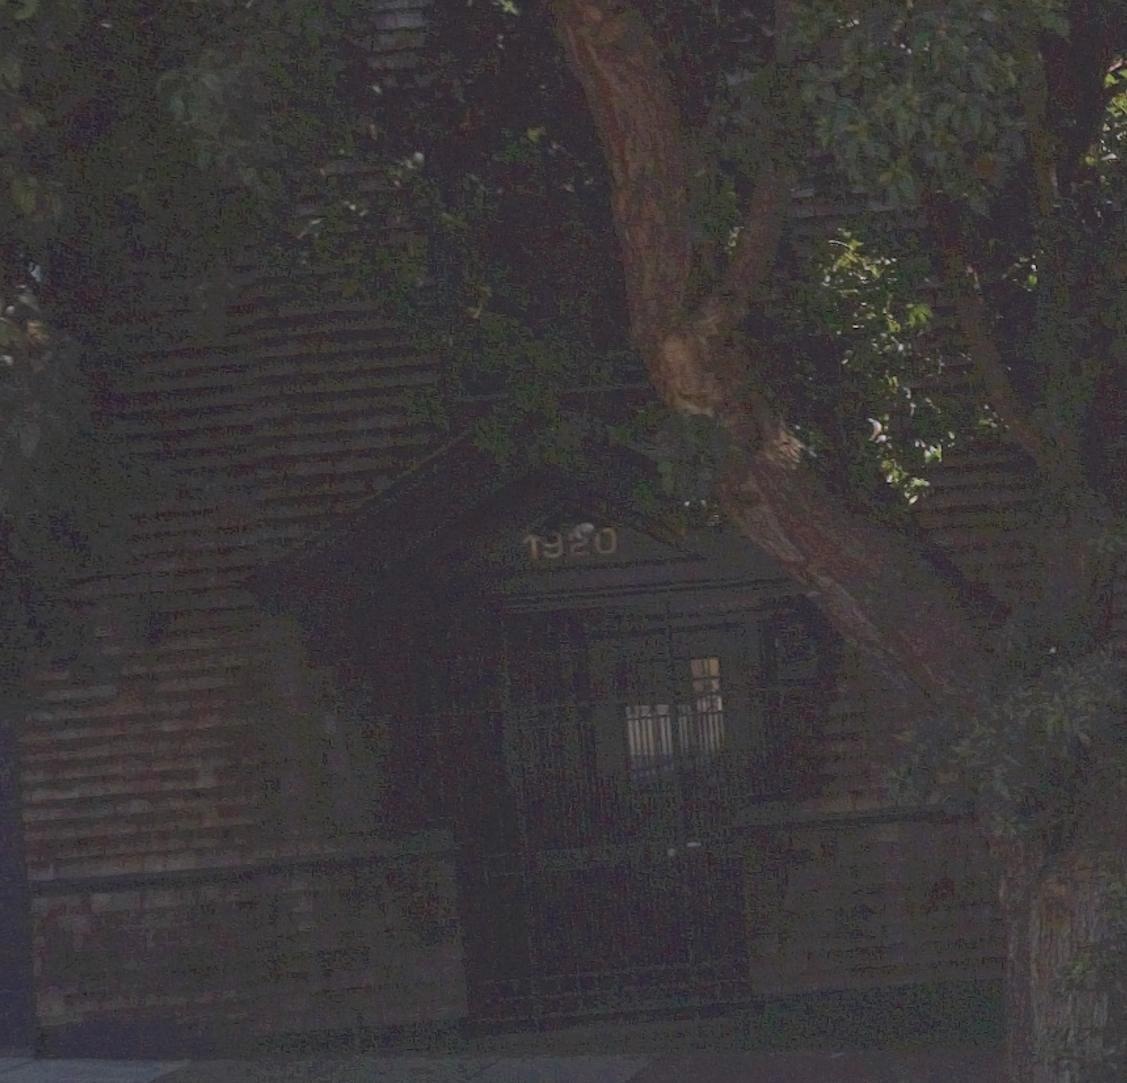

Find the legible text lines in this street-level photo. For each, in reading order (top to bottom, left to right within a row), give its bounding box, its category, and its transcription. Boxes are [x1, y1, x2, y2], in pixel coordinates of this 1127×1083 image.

[519, 524, 621, 564] StreetNumber: 1**0